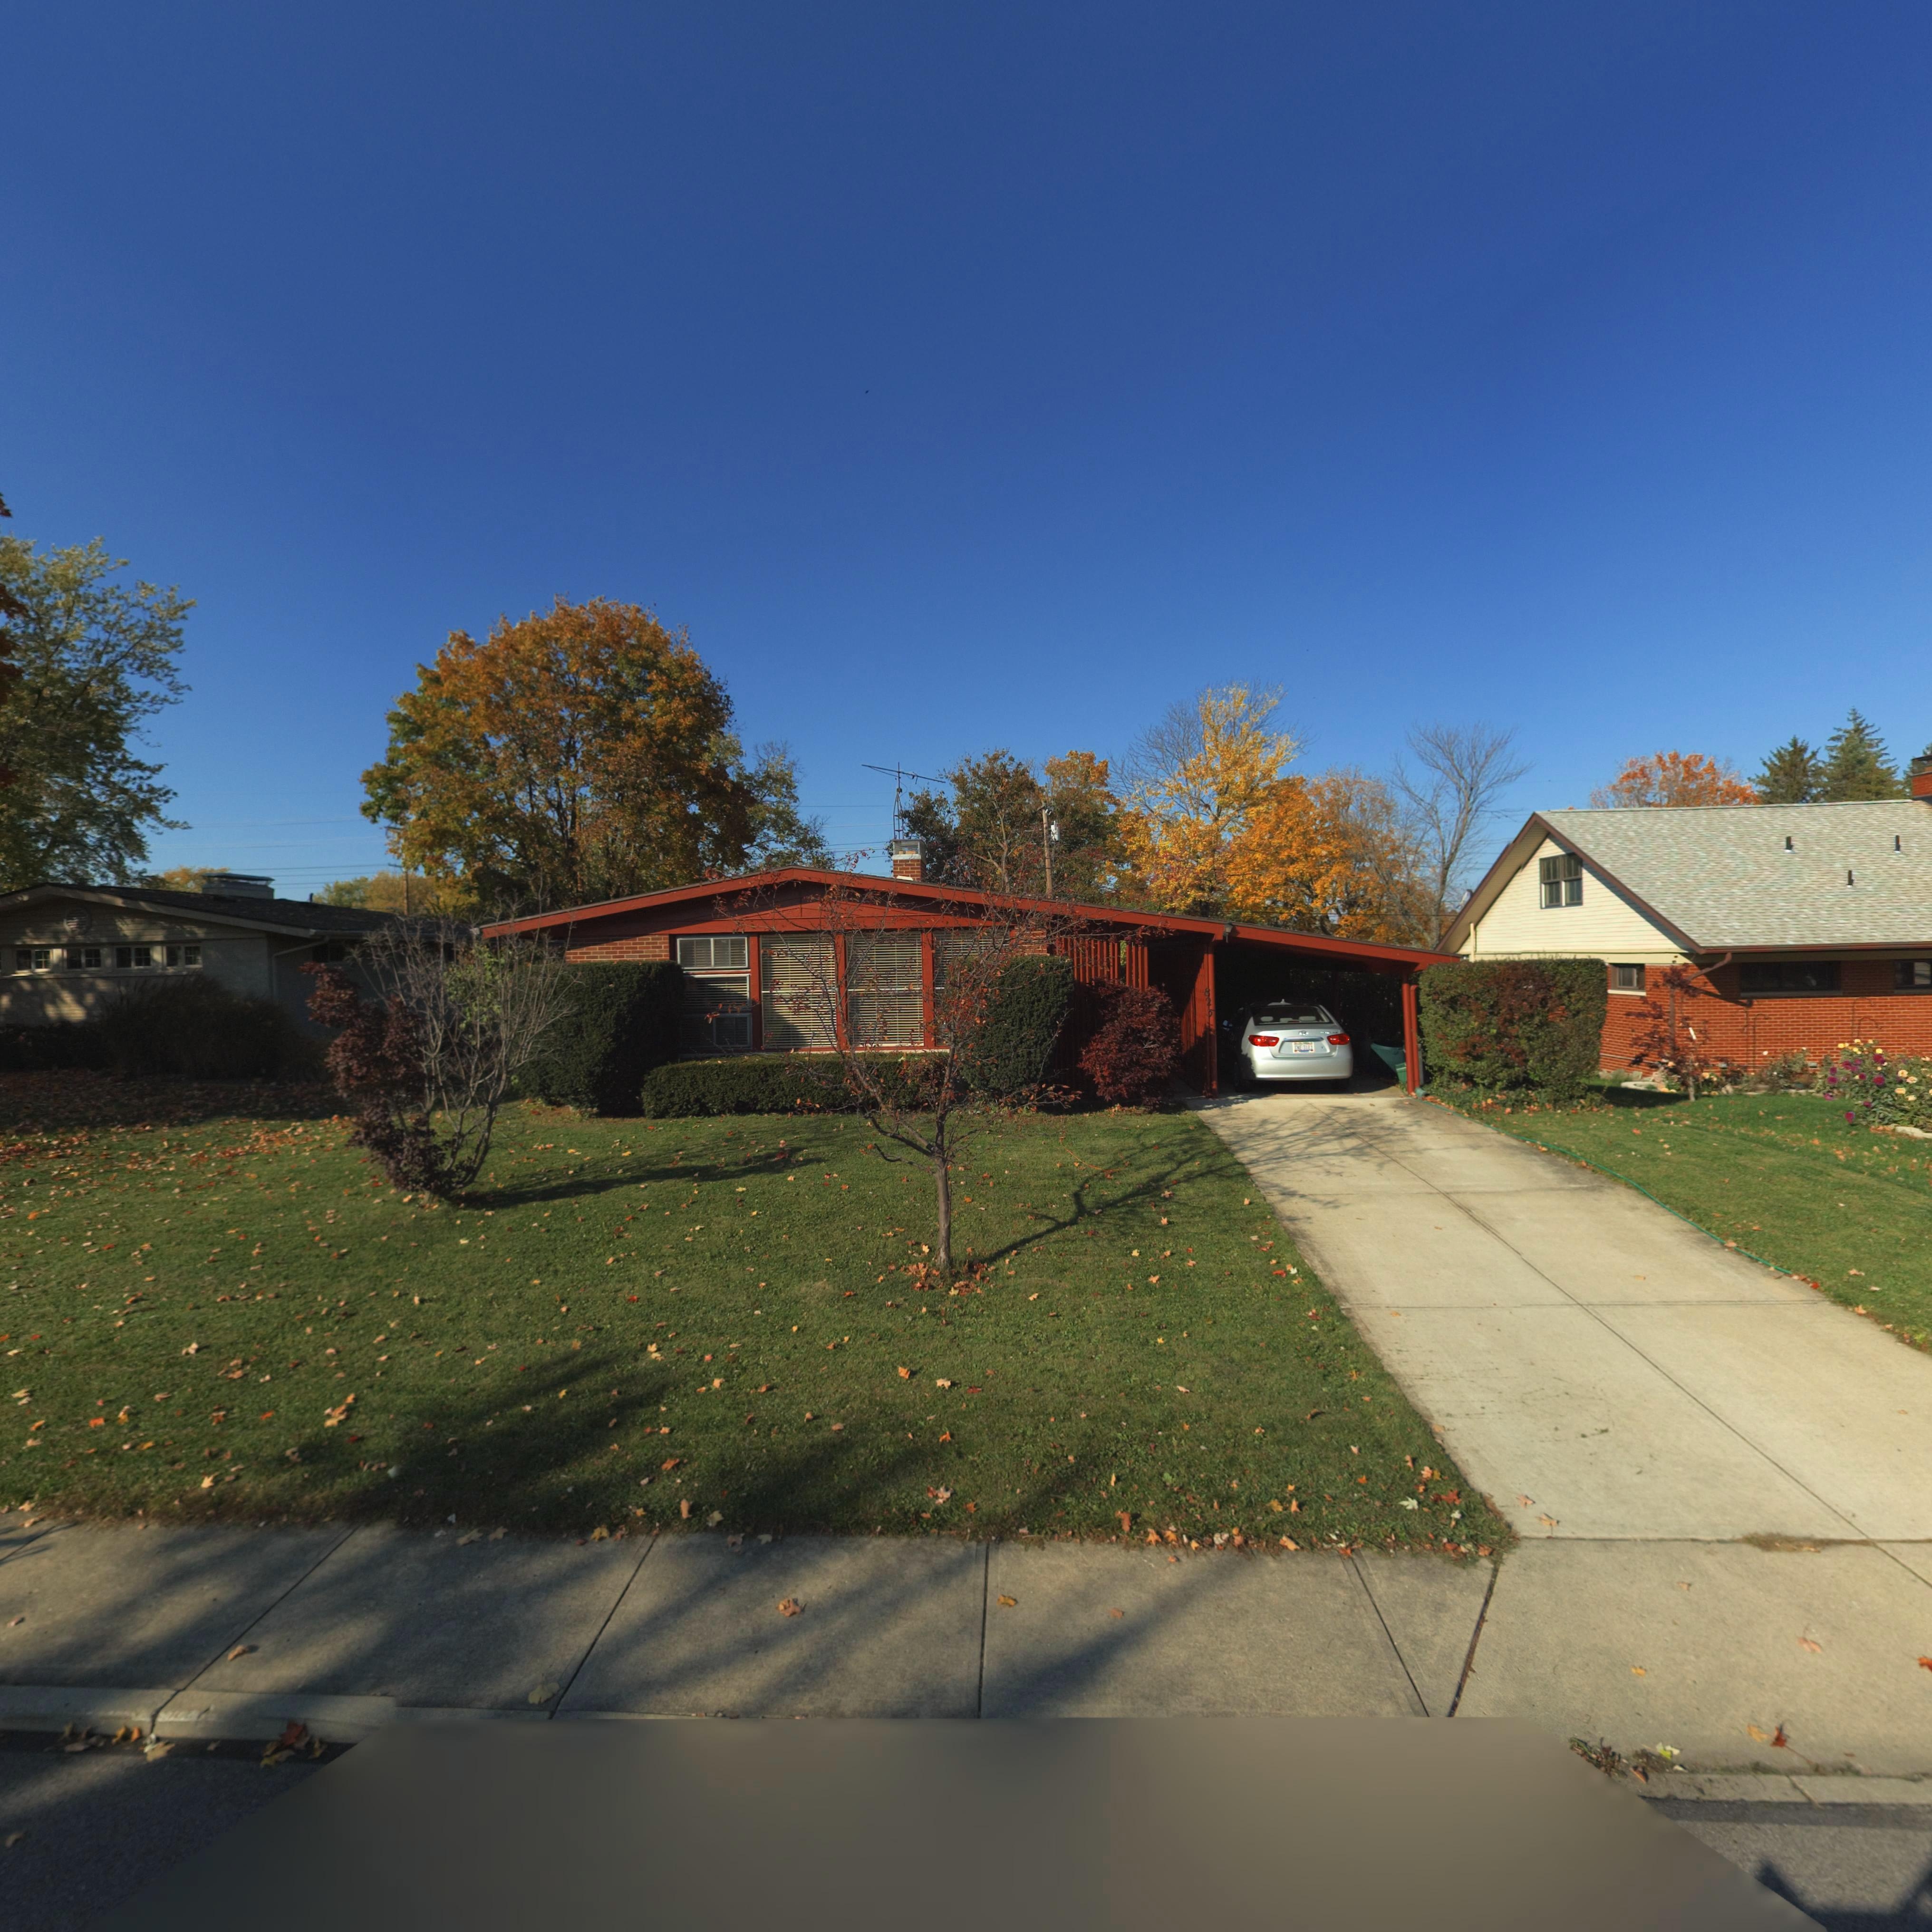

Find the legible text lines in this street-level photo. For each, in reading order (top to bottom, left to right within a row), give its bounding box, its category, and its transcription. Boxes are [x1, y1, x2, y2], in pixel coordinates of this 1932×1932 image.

[1203, 986, 1216, 1019] StreetNumber: 825